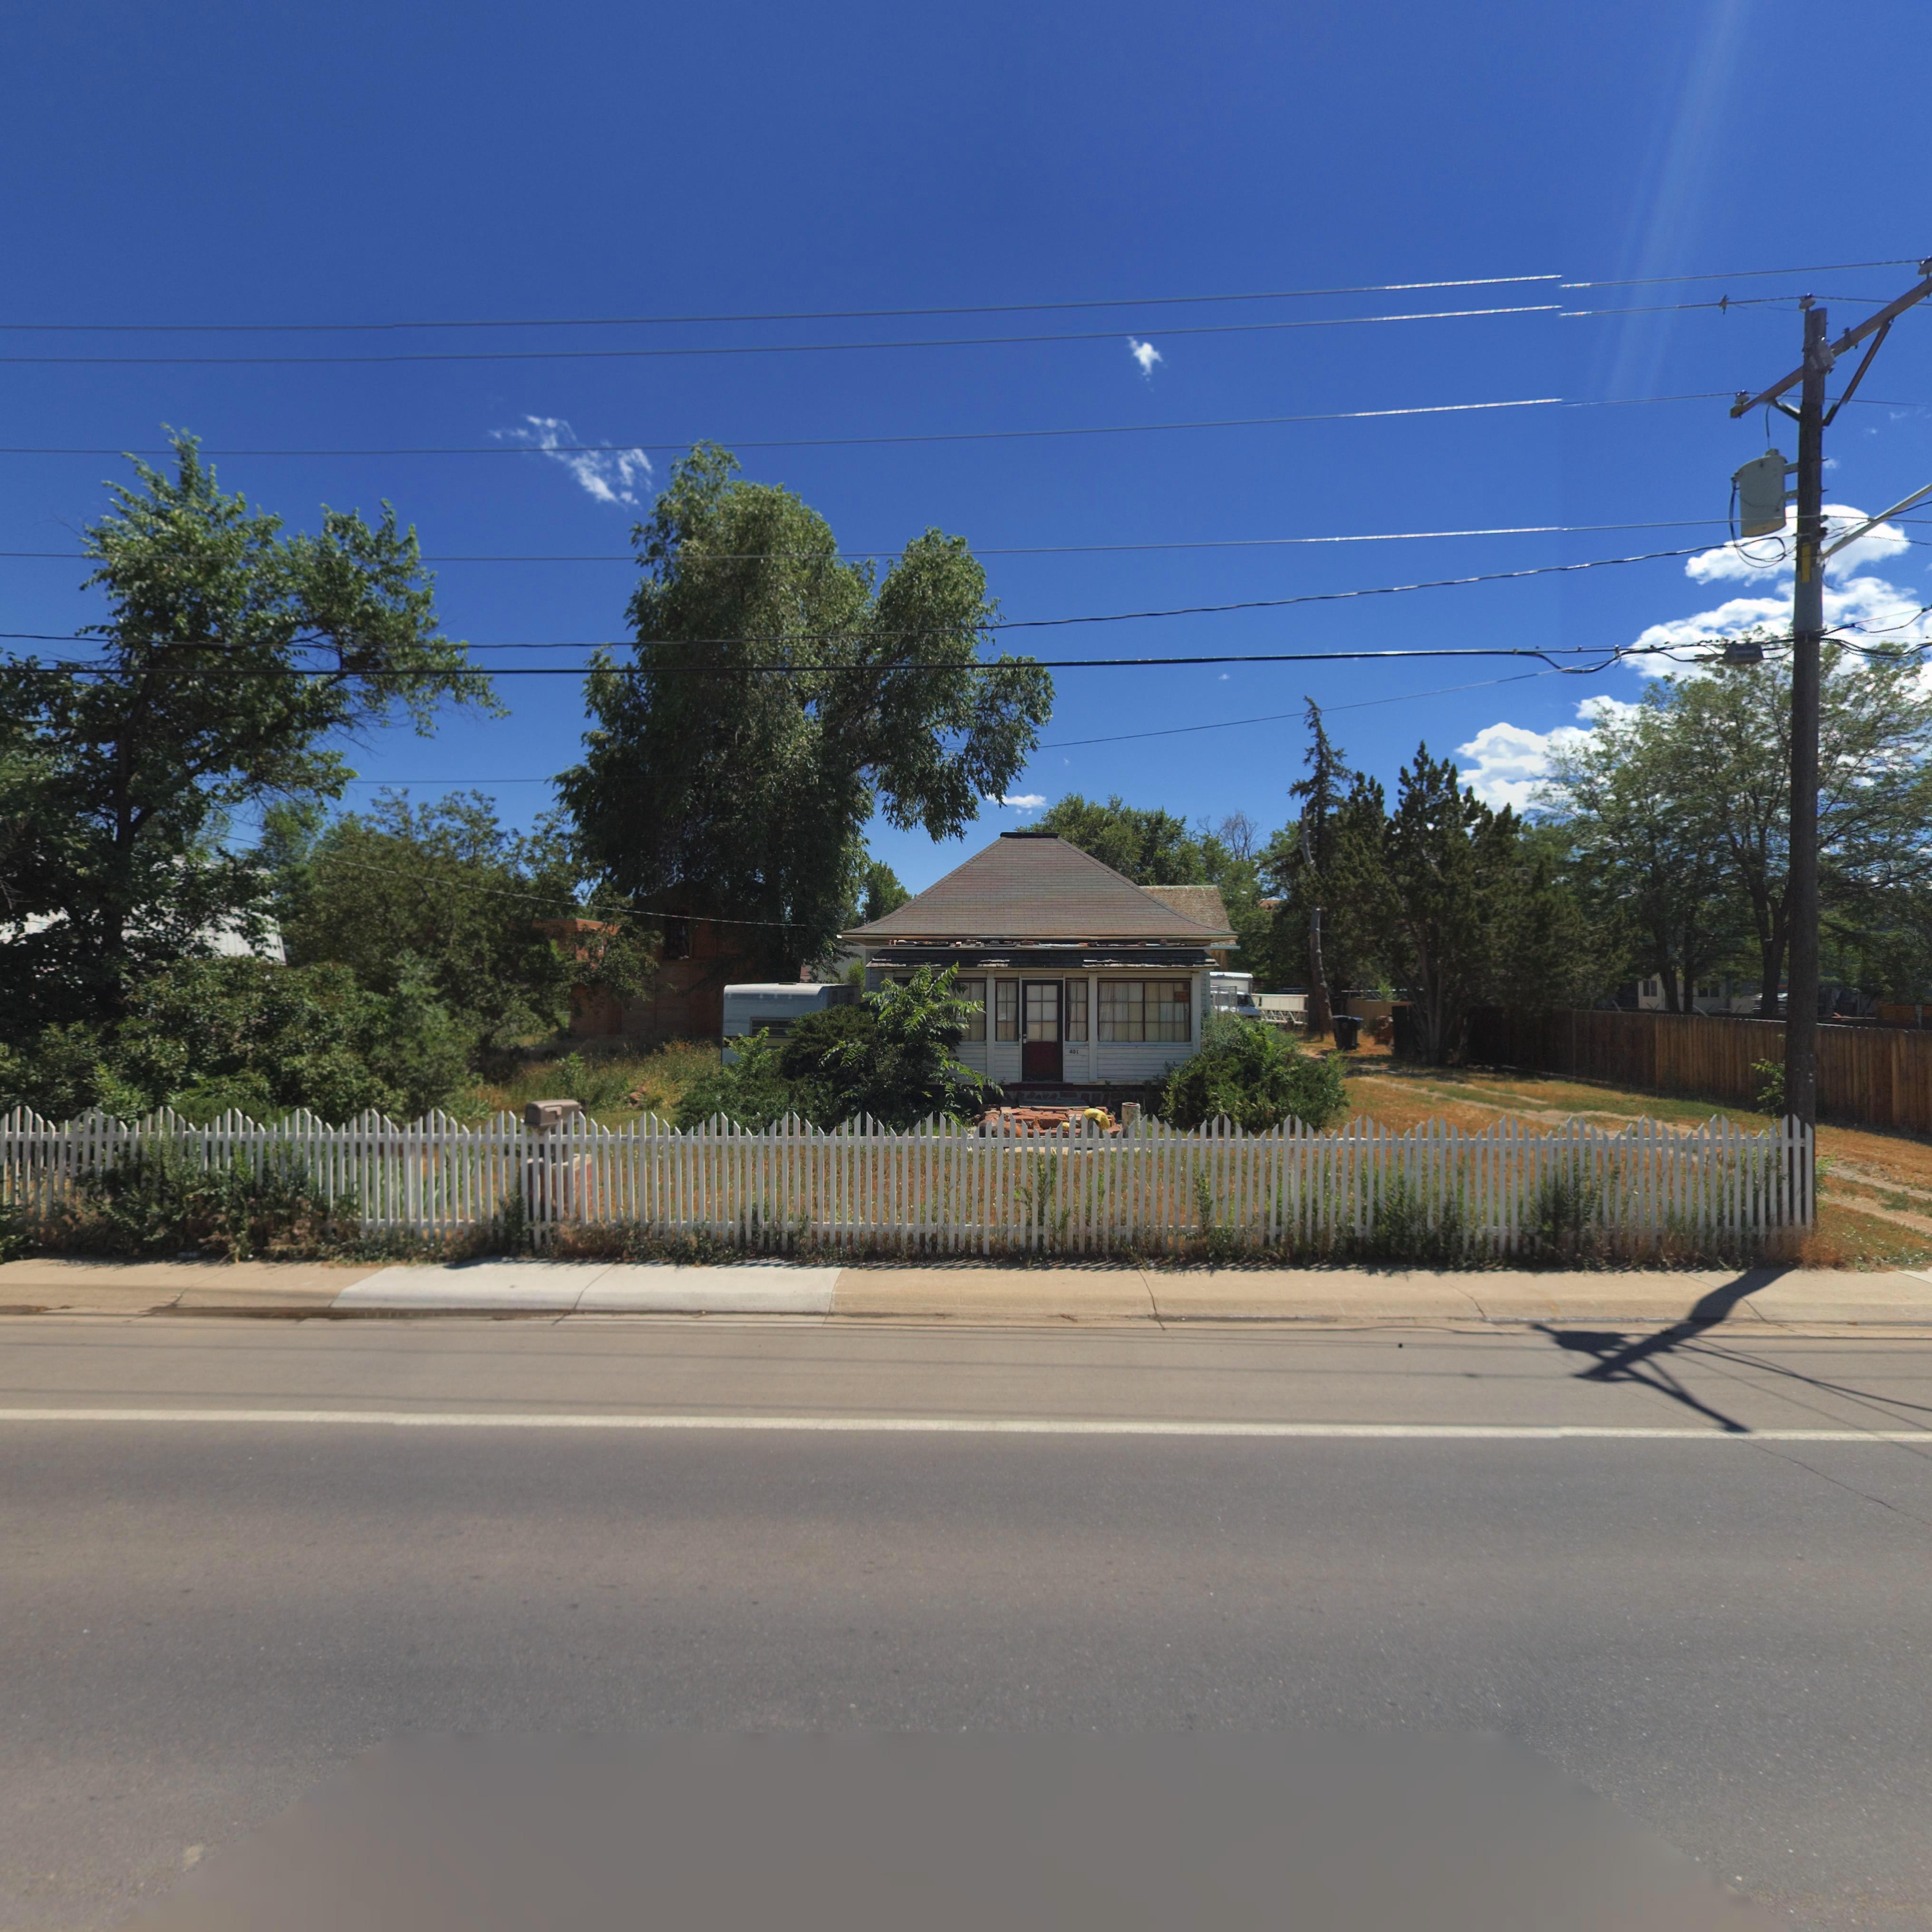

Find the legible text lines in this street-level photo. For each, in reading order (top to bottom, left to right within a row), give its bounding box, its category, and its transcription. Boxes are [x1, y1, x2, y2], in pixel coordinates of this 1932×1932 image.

[1069, 1049, 1078, 1054] StreetNumber: 401